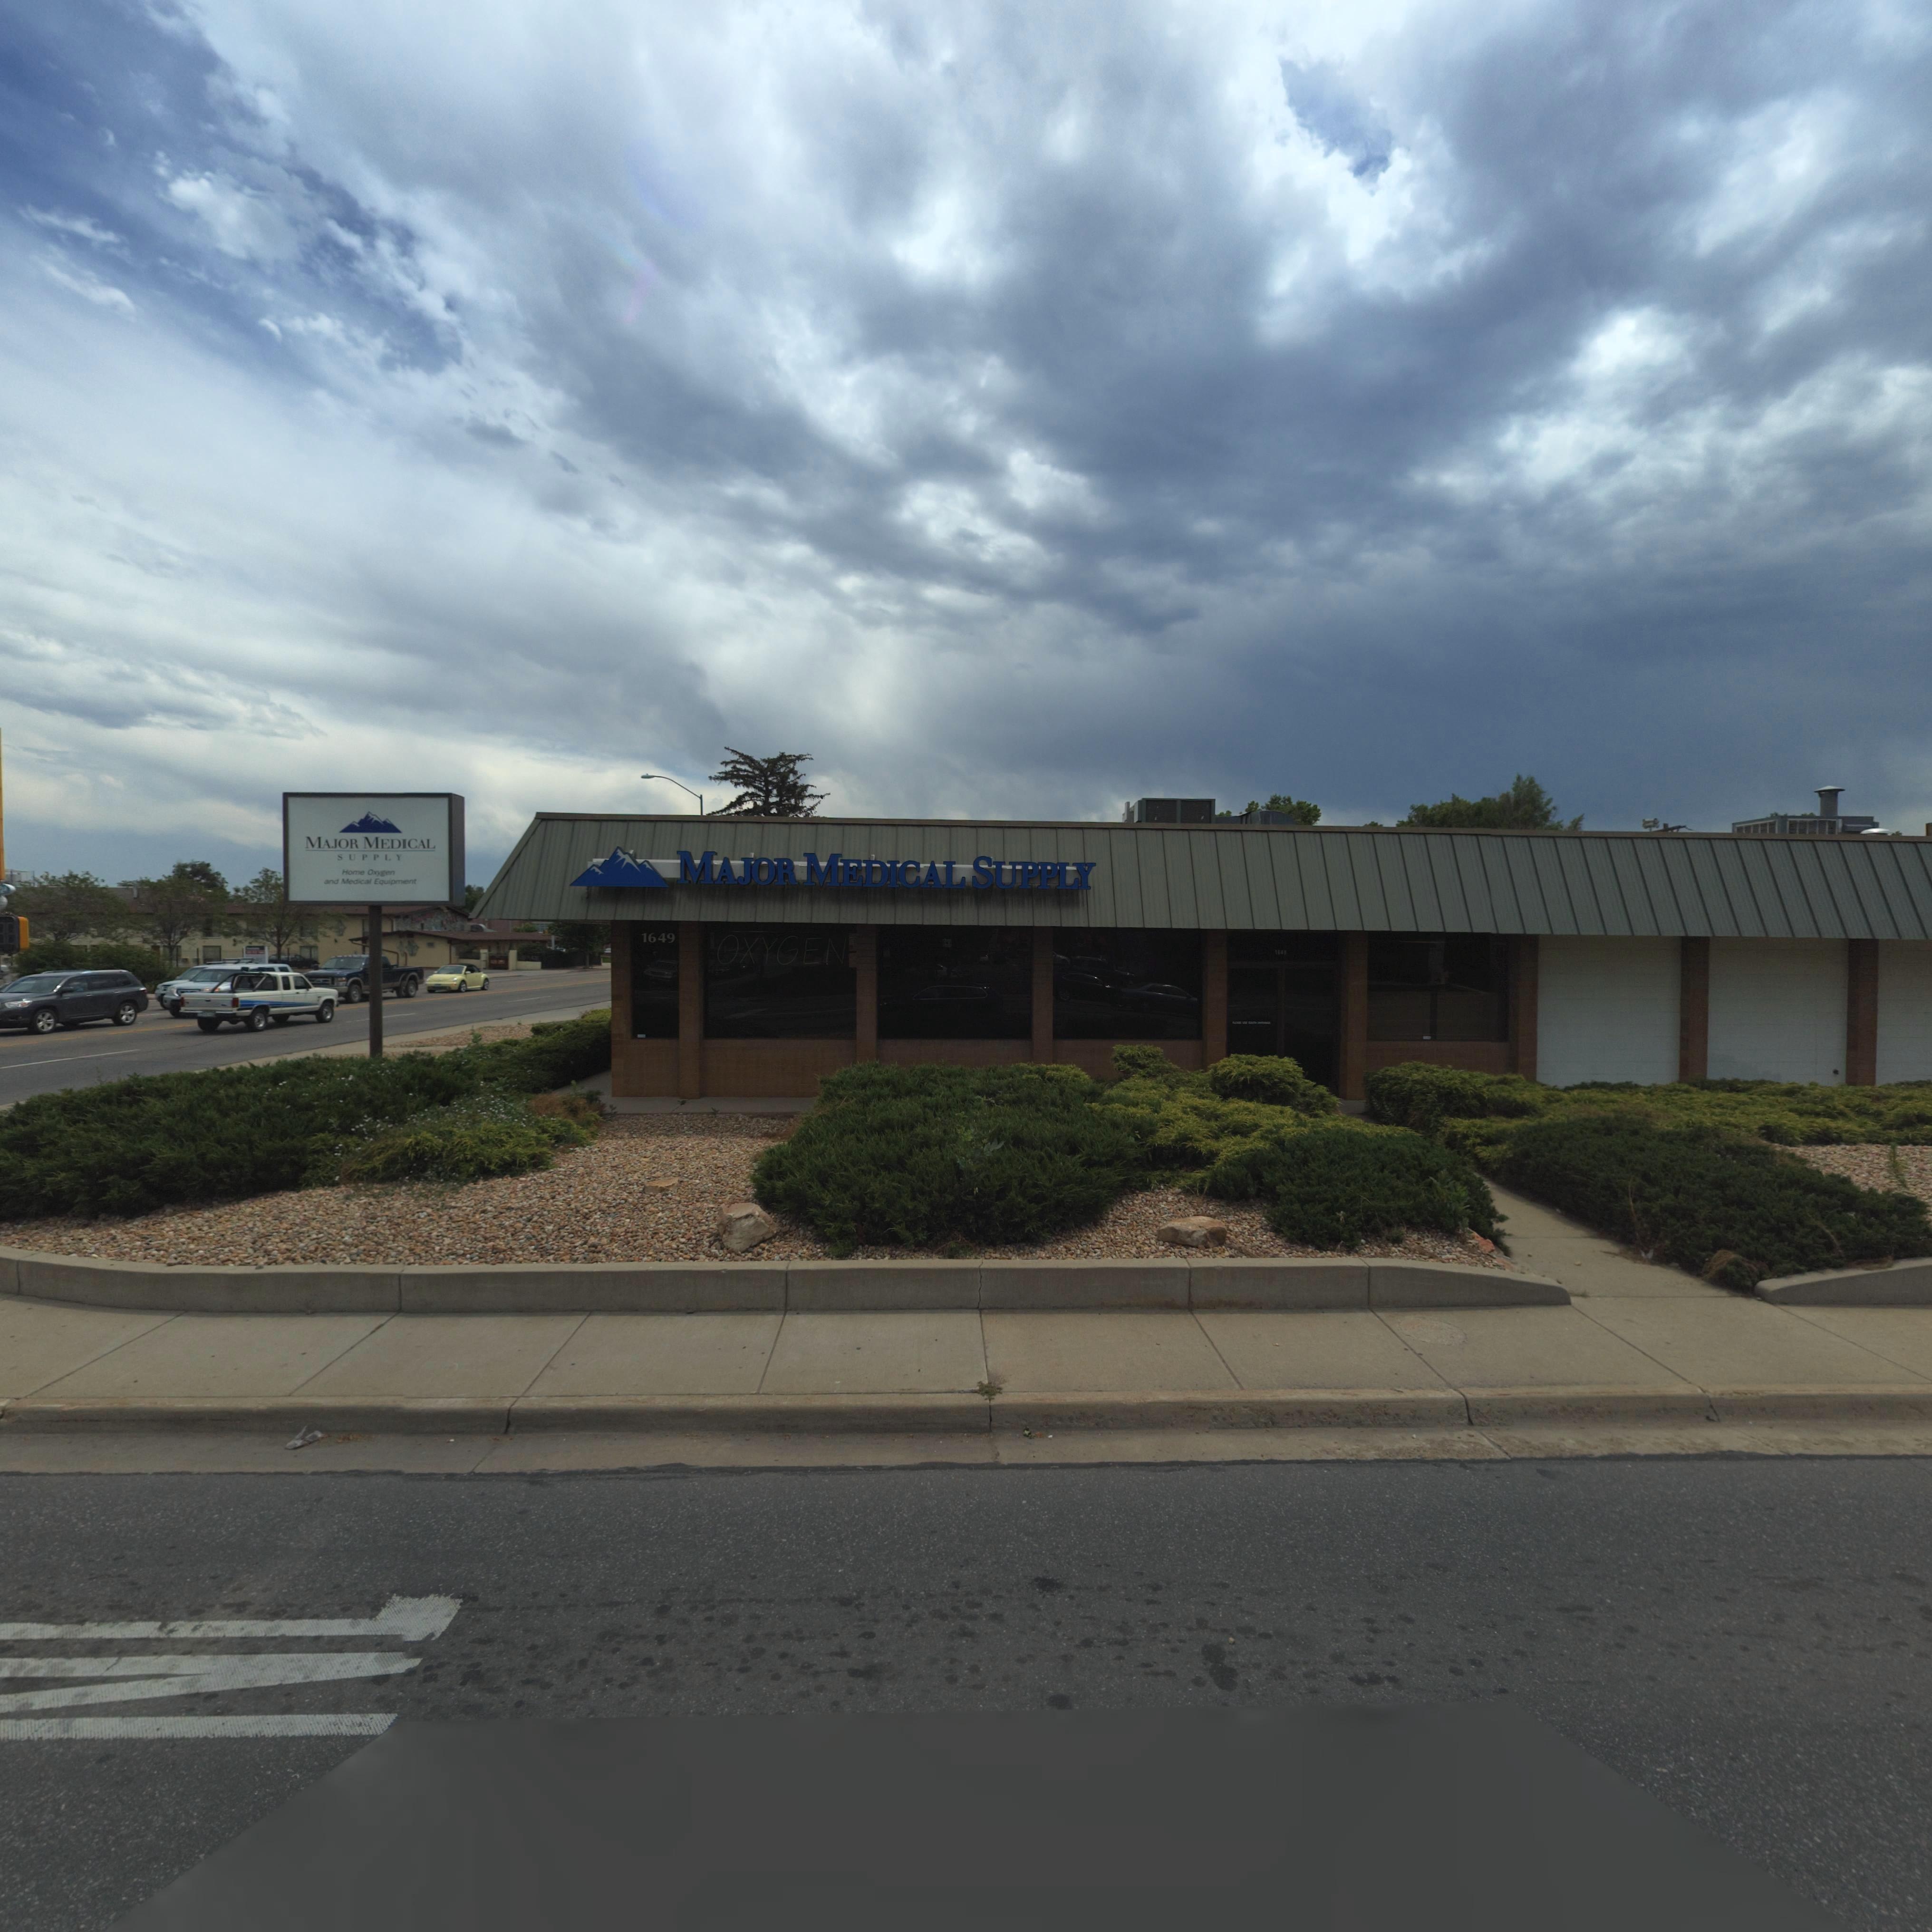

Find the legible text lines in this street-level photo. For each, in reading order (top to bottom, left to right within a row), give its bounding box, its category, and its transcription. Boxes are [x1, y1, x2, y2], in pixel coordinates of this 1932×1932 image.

[304, 836, 436, 849] BusinessName: MAJOR MEDICAL
[336, 853, 404, 861] BusinessName: SUPPLY
[675, 850, 1097, 890] BusinessName: MAJOR MEDICAL SUPPLY
[641, 932, 676, 943] StreetNumber: 1649
[1274, 949, 1287, 955] StreetNumber: 164*